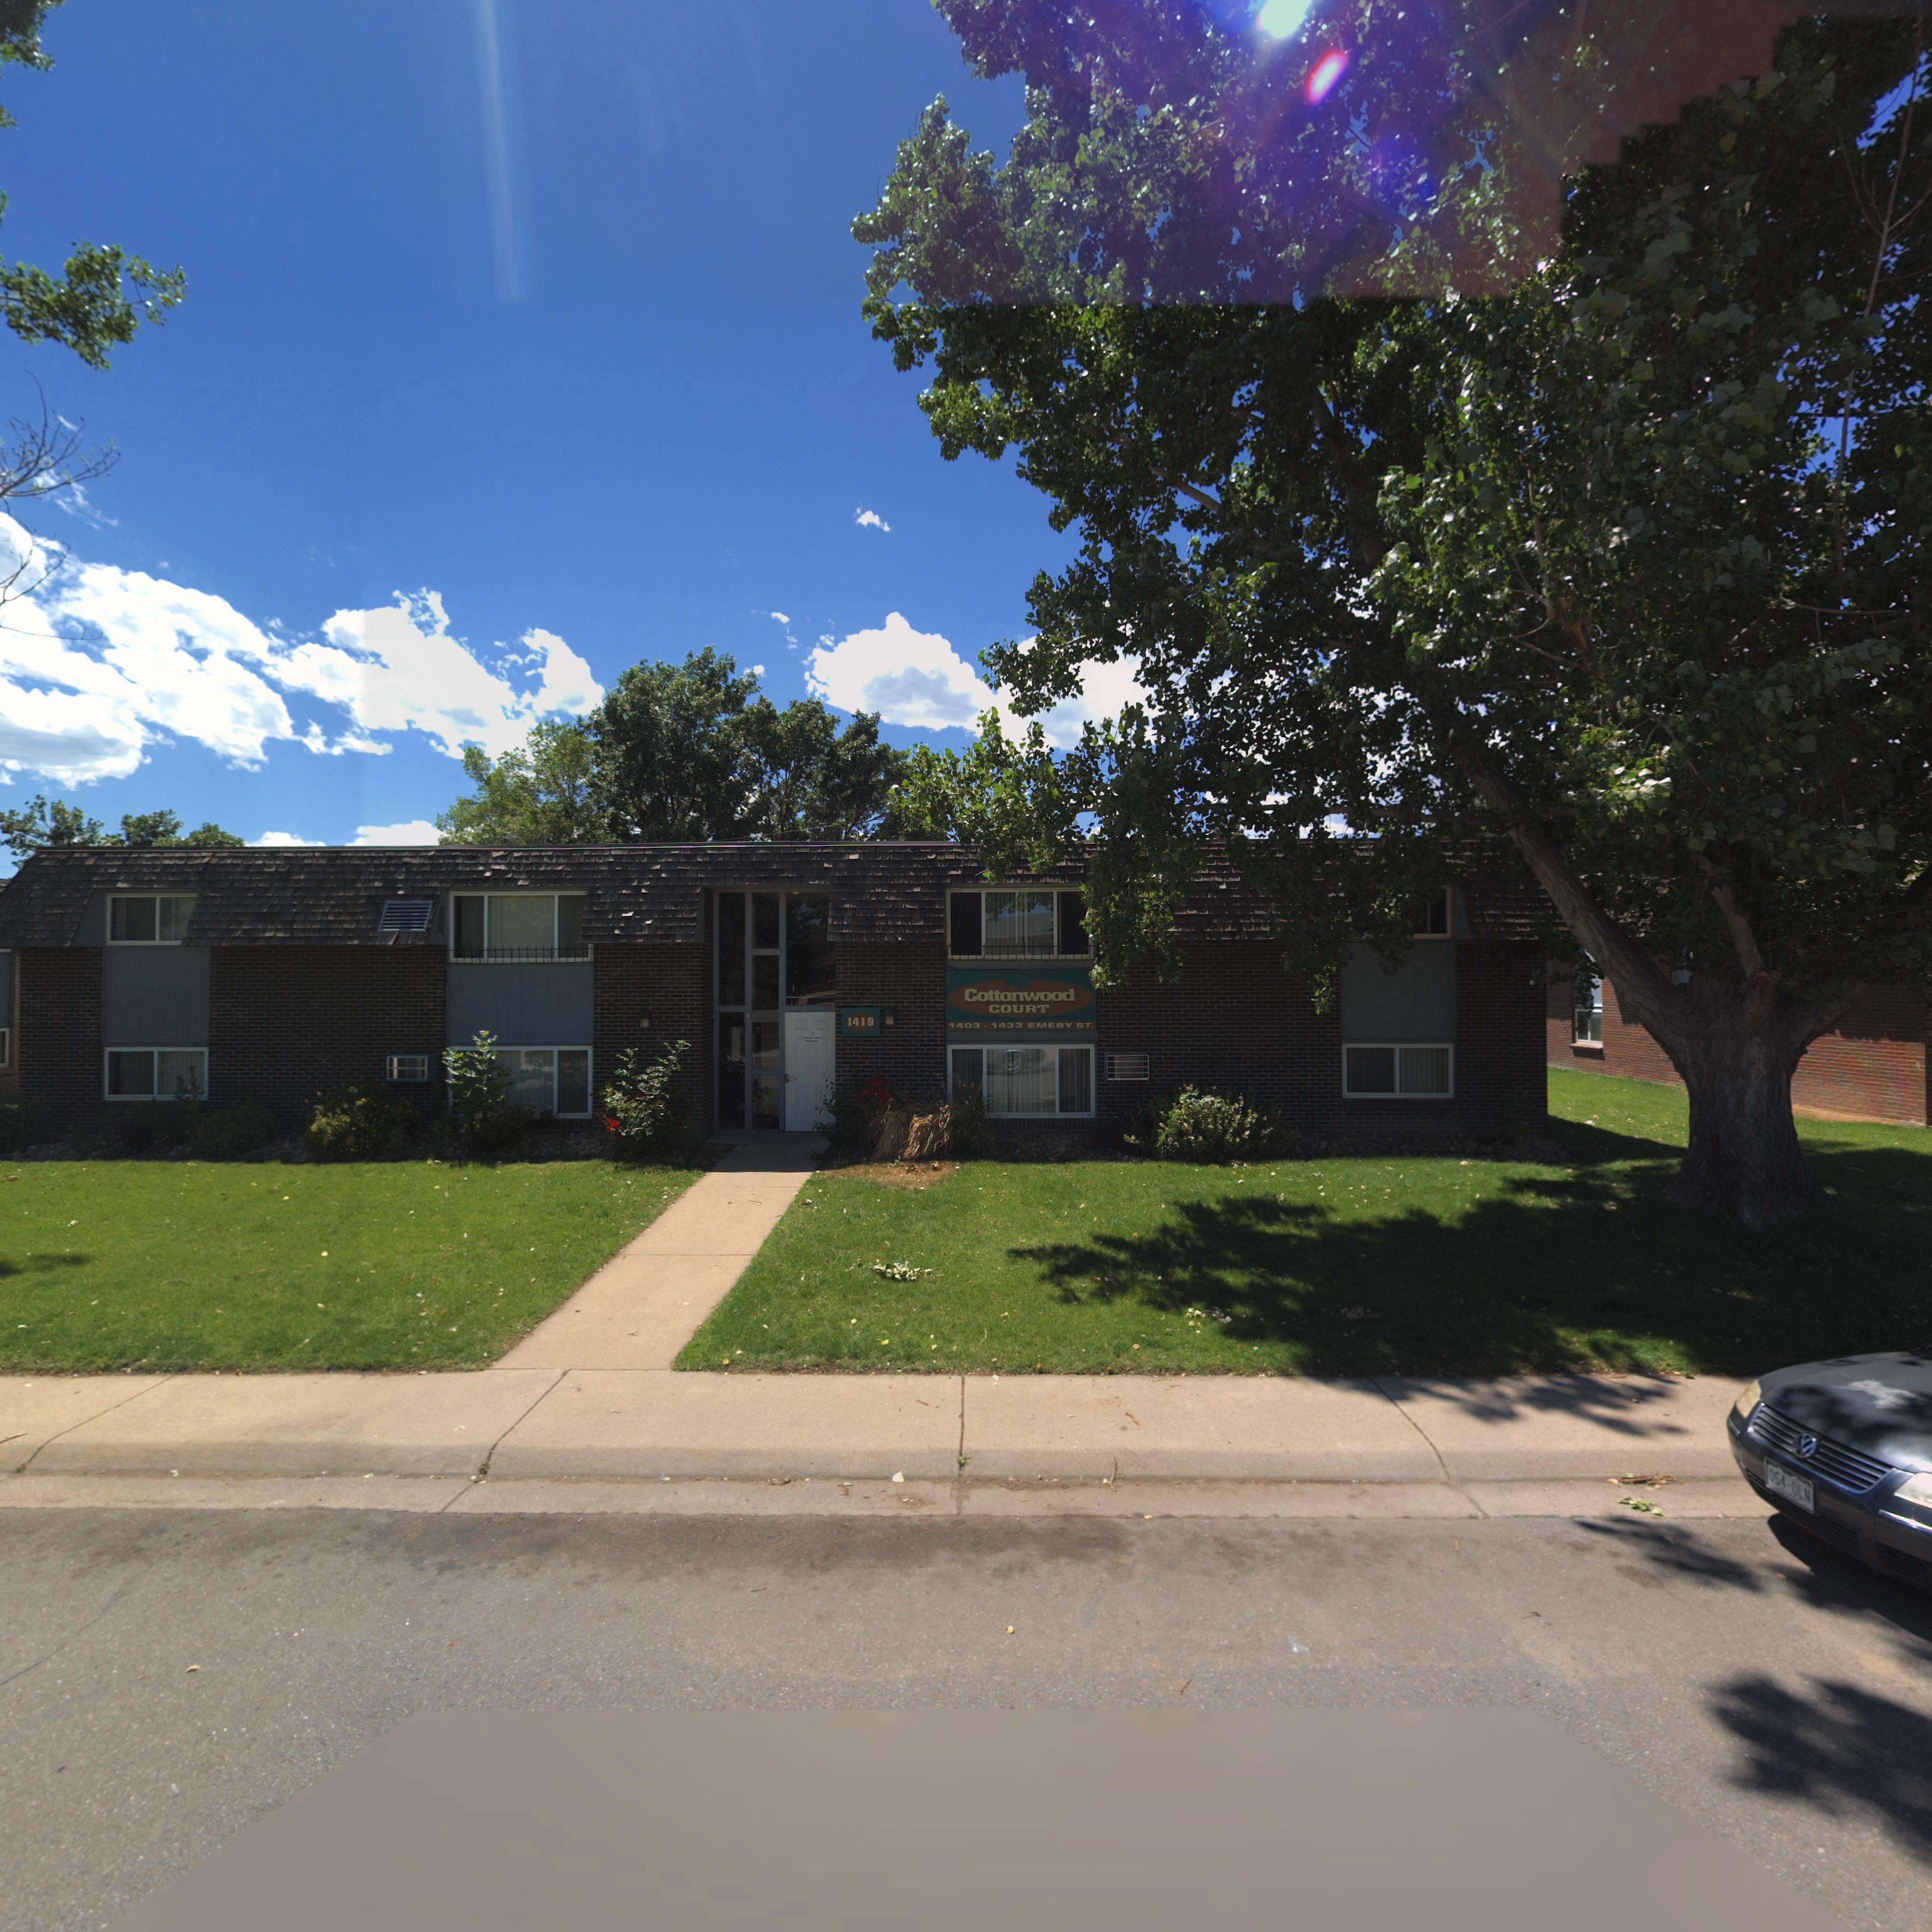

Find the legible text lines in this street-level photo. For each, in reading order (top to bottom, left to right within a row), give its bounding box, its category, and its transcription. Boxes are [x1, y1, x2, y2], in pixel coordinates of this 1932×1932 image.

[964, 988, 1075, 1002] BusinessName: Cottonwood
[988, 1004, 1049, 1013] BusinessName: COURT
[847, 1016, 874, 1026] StreetNumber: 1419
[948, 1022, 1023, 1029] StreetNumber: 1403 - 1433
[1027, 1022, 1094, 1028] StreetName: EMERY ST.